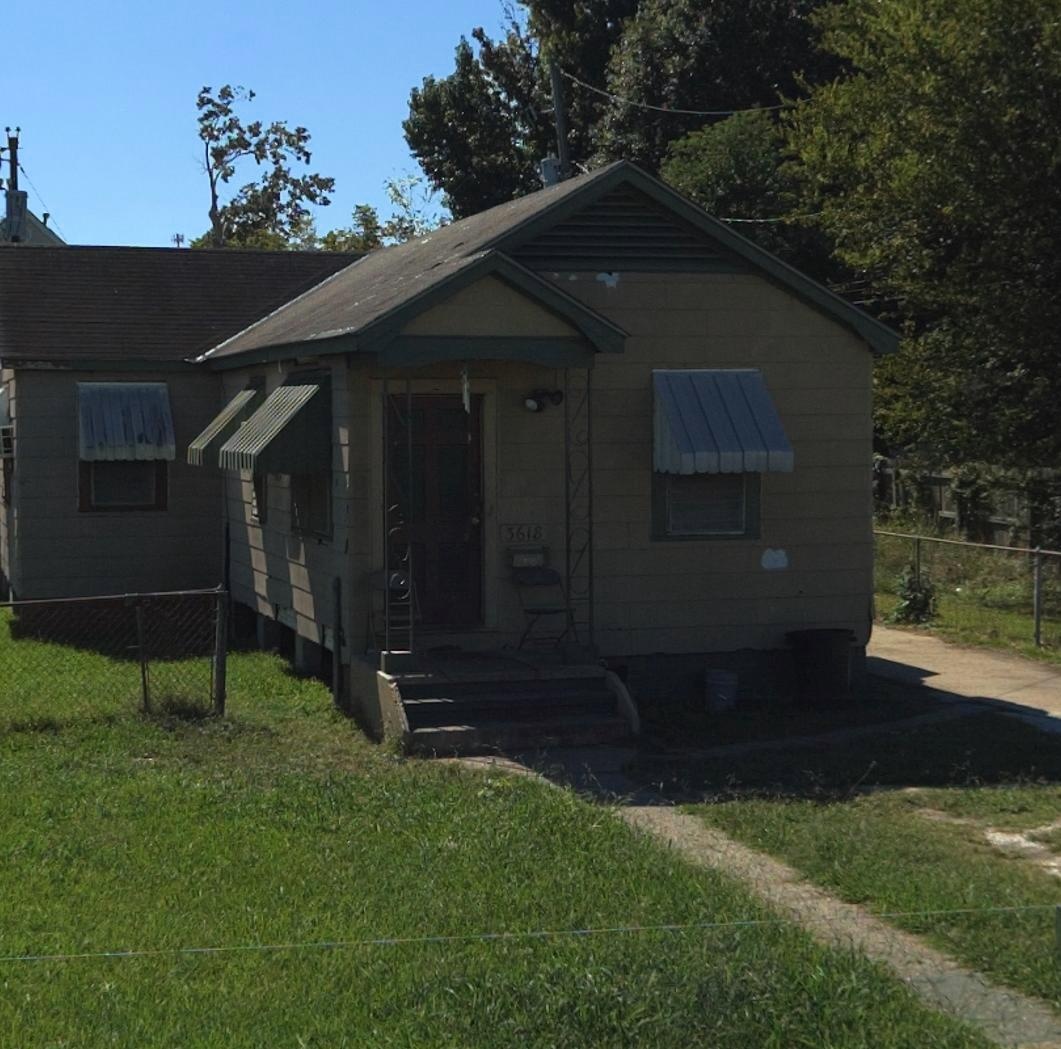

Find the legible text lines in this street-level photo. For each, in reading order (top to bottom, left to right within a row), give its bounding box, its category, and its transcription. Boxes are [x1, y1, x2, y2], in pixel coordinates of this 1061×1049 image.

[506, 524, 544, 542] StreetNumber: 3618